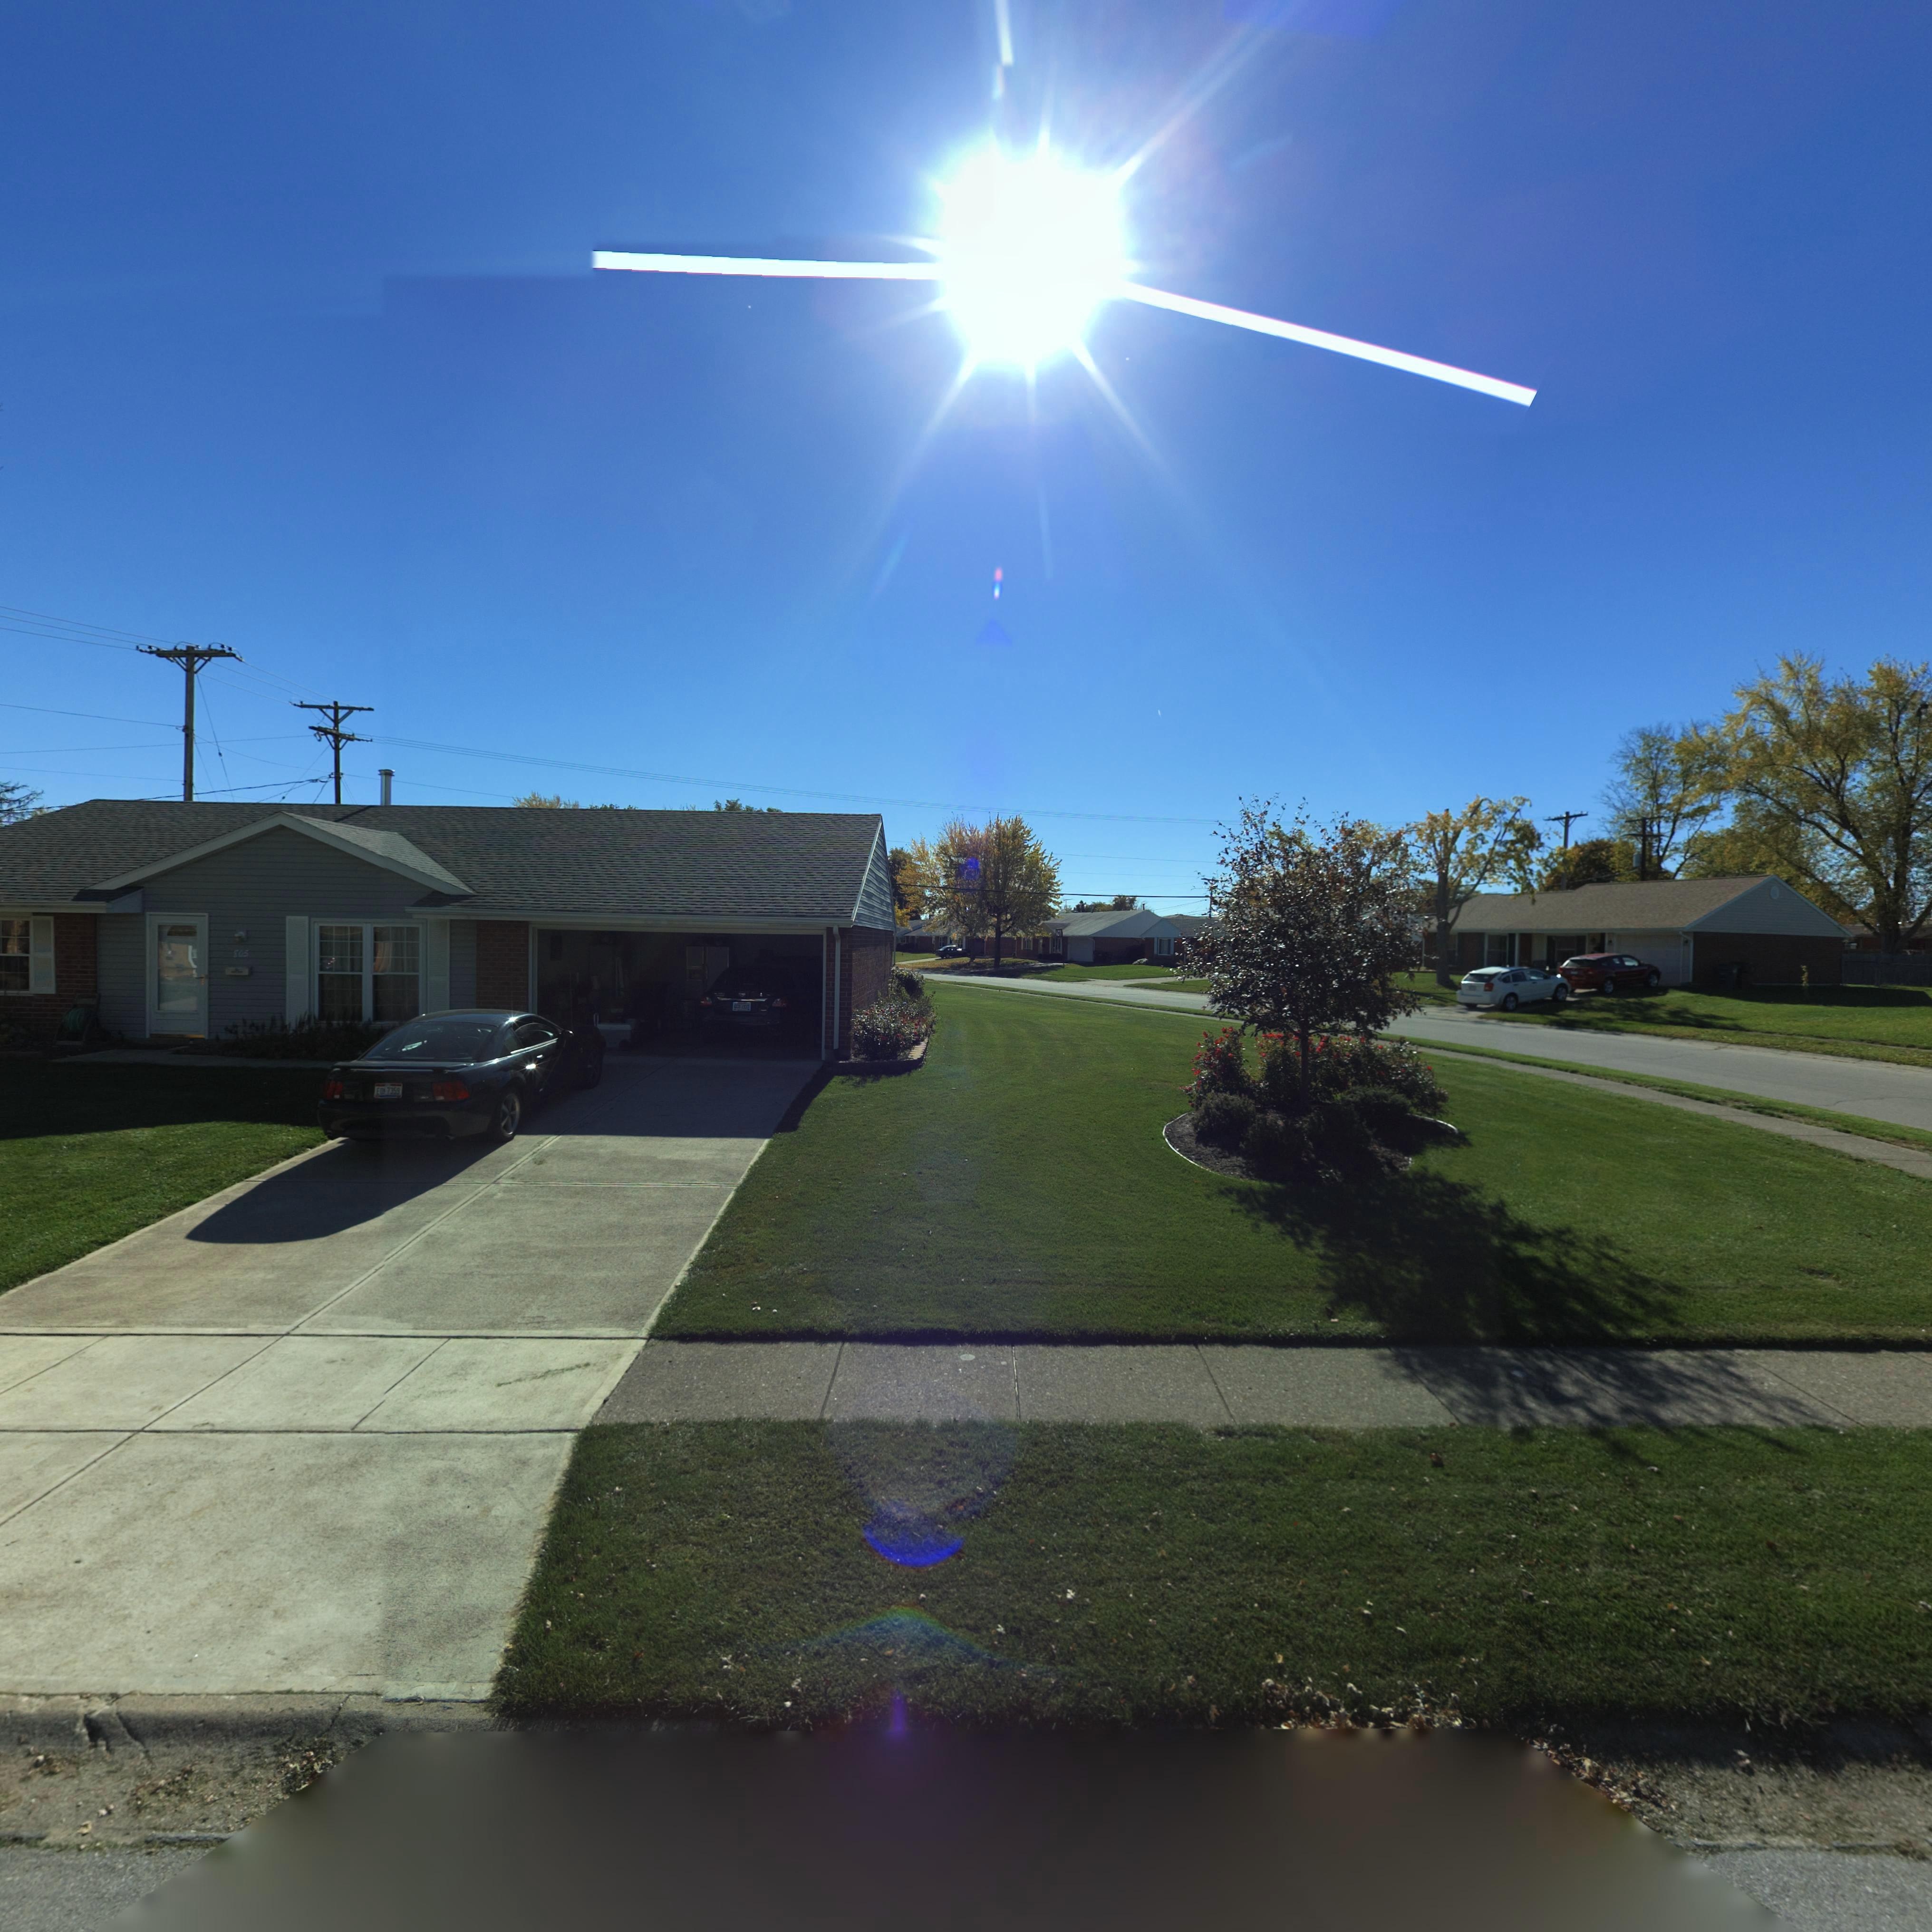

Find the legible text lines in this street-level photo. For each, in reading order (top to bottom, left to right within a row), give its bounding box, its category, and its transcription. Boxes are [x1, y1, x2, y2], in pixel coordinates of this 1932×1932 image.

[233, 949, 249, 958] StreetNumber: 805